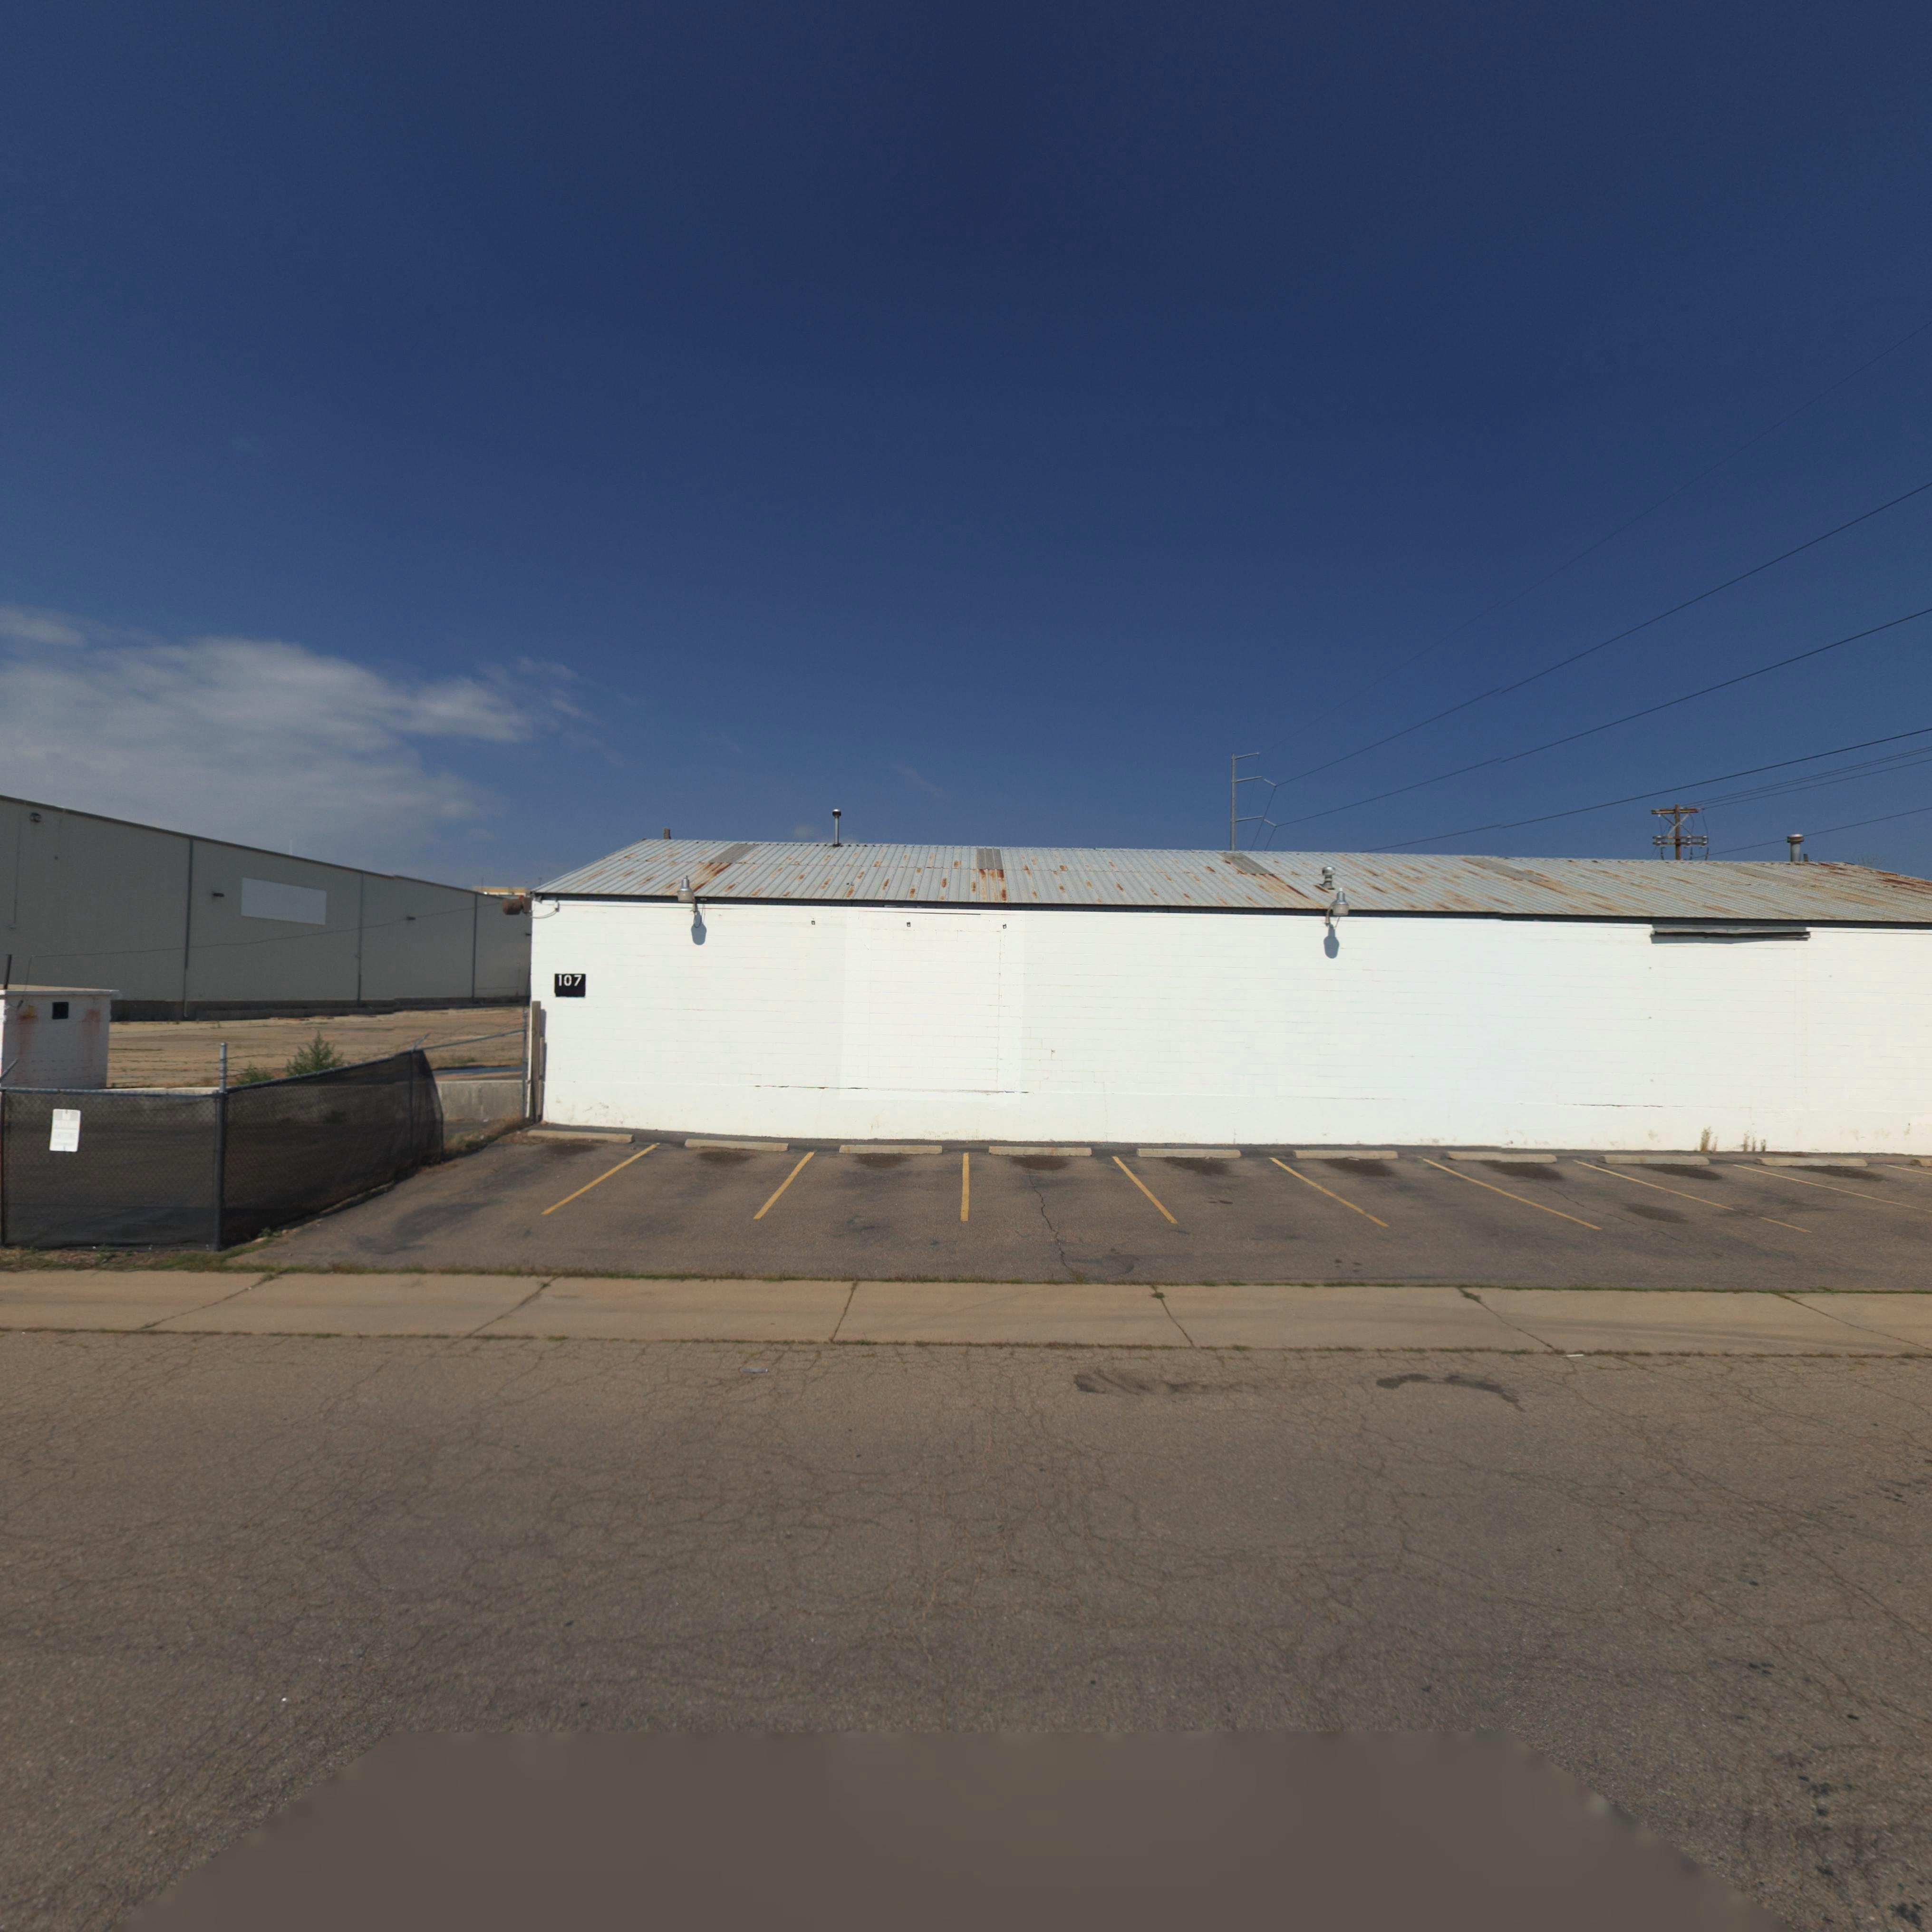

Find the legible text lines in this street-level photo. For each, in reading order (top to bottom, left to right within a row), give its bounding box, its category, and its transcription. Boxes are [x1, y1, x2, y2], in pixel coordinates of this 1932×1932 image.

[558, 974, 582, 986] StreetNumber: 107